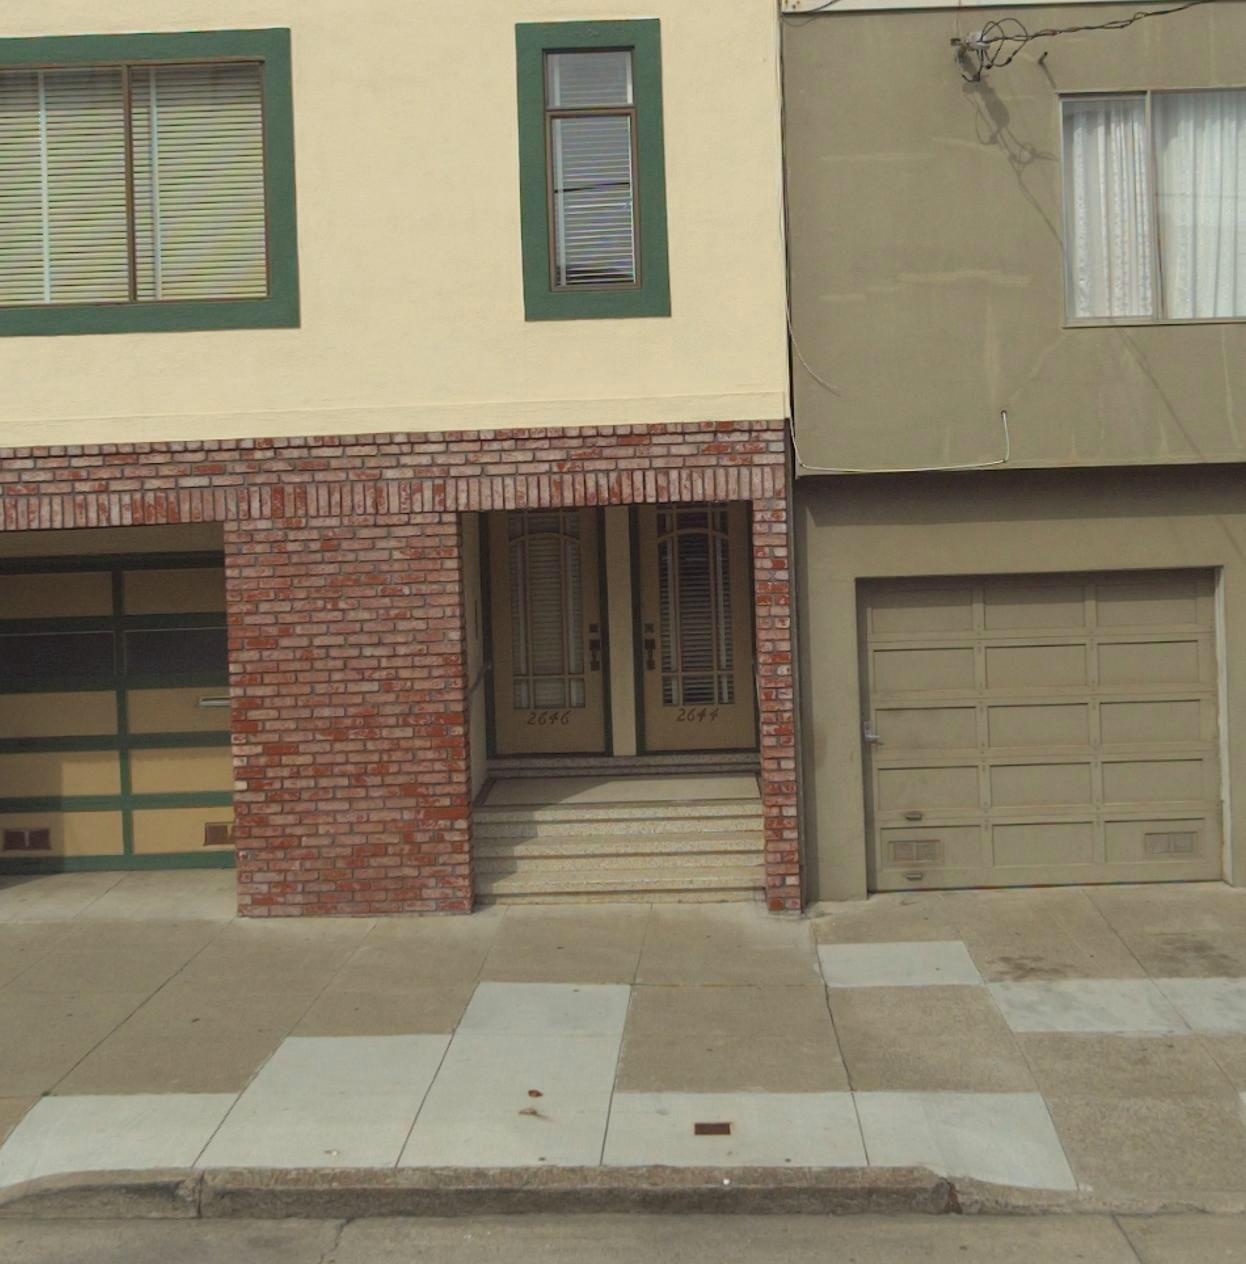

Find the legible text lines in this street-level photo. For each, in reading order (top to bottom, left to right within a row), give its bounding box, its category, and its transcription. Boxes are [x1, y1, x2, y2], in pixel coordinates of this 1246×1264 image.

[526, 710, 572, 725] StreetNumber: 2646
[675, 706, 721, 723] StreetNumber: 2644